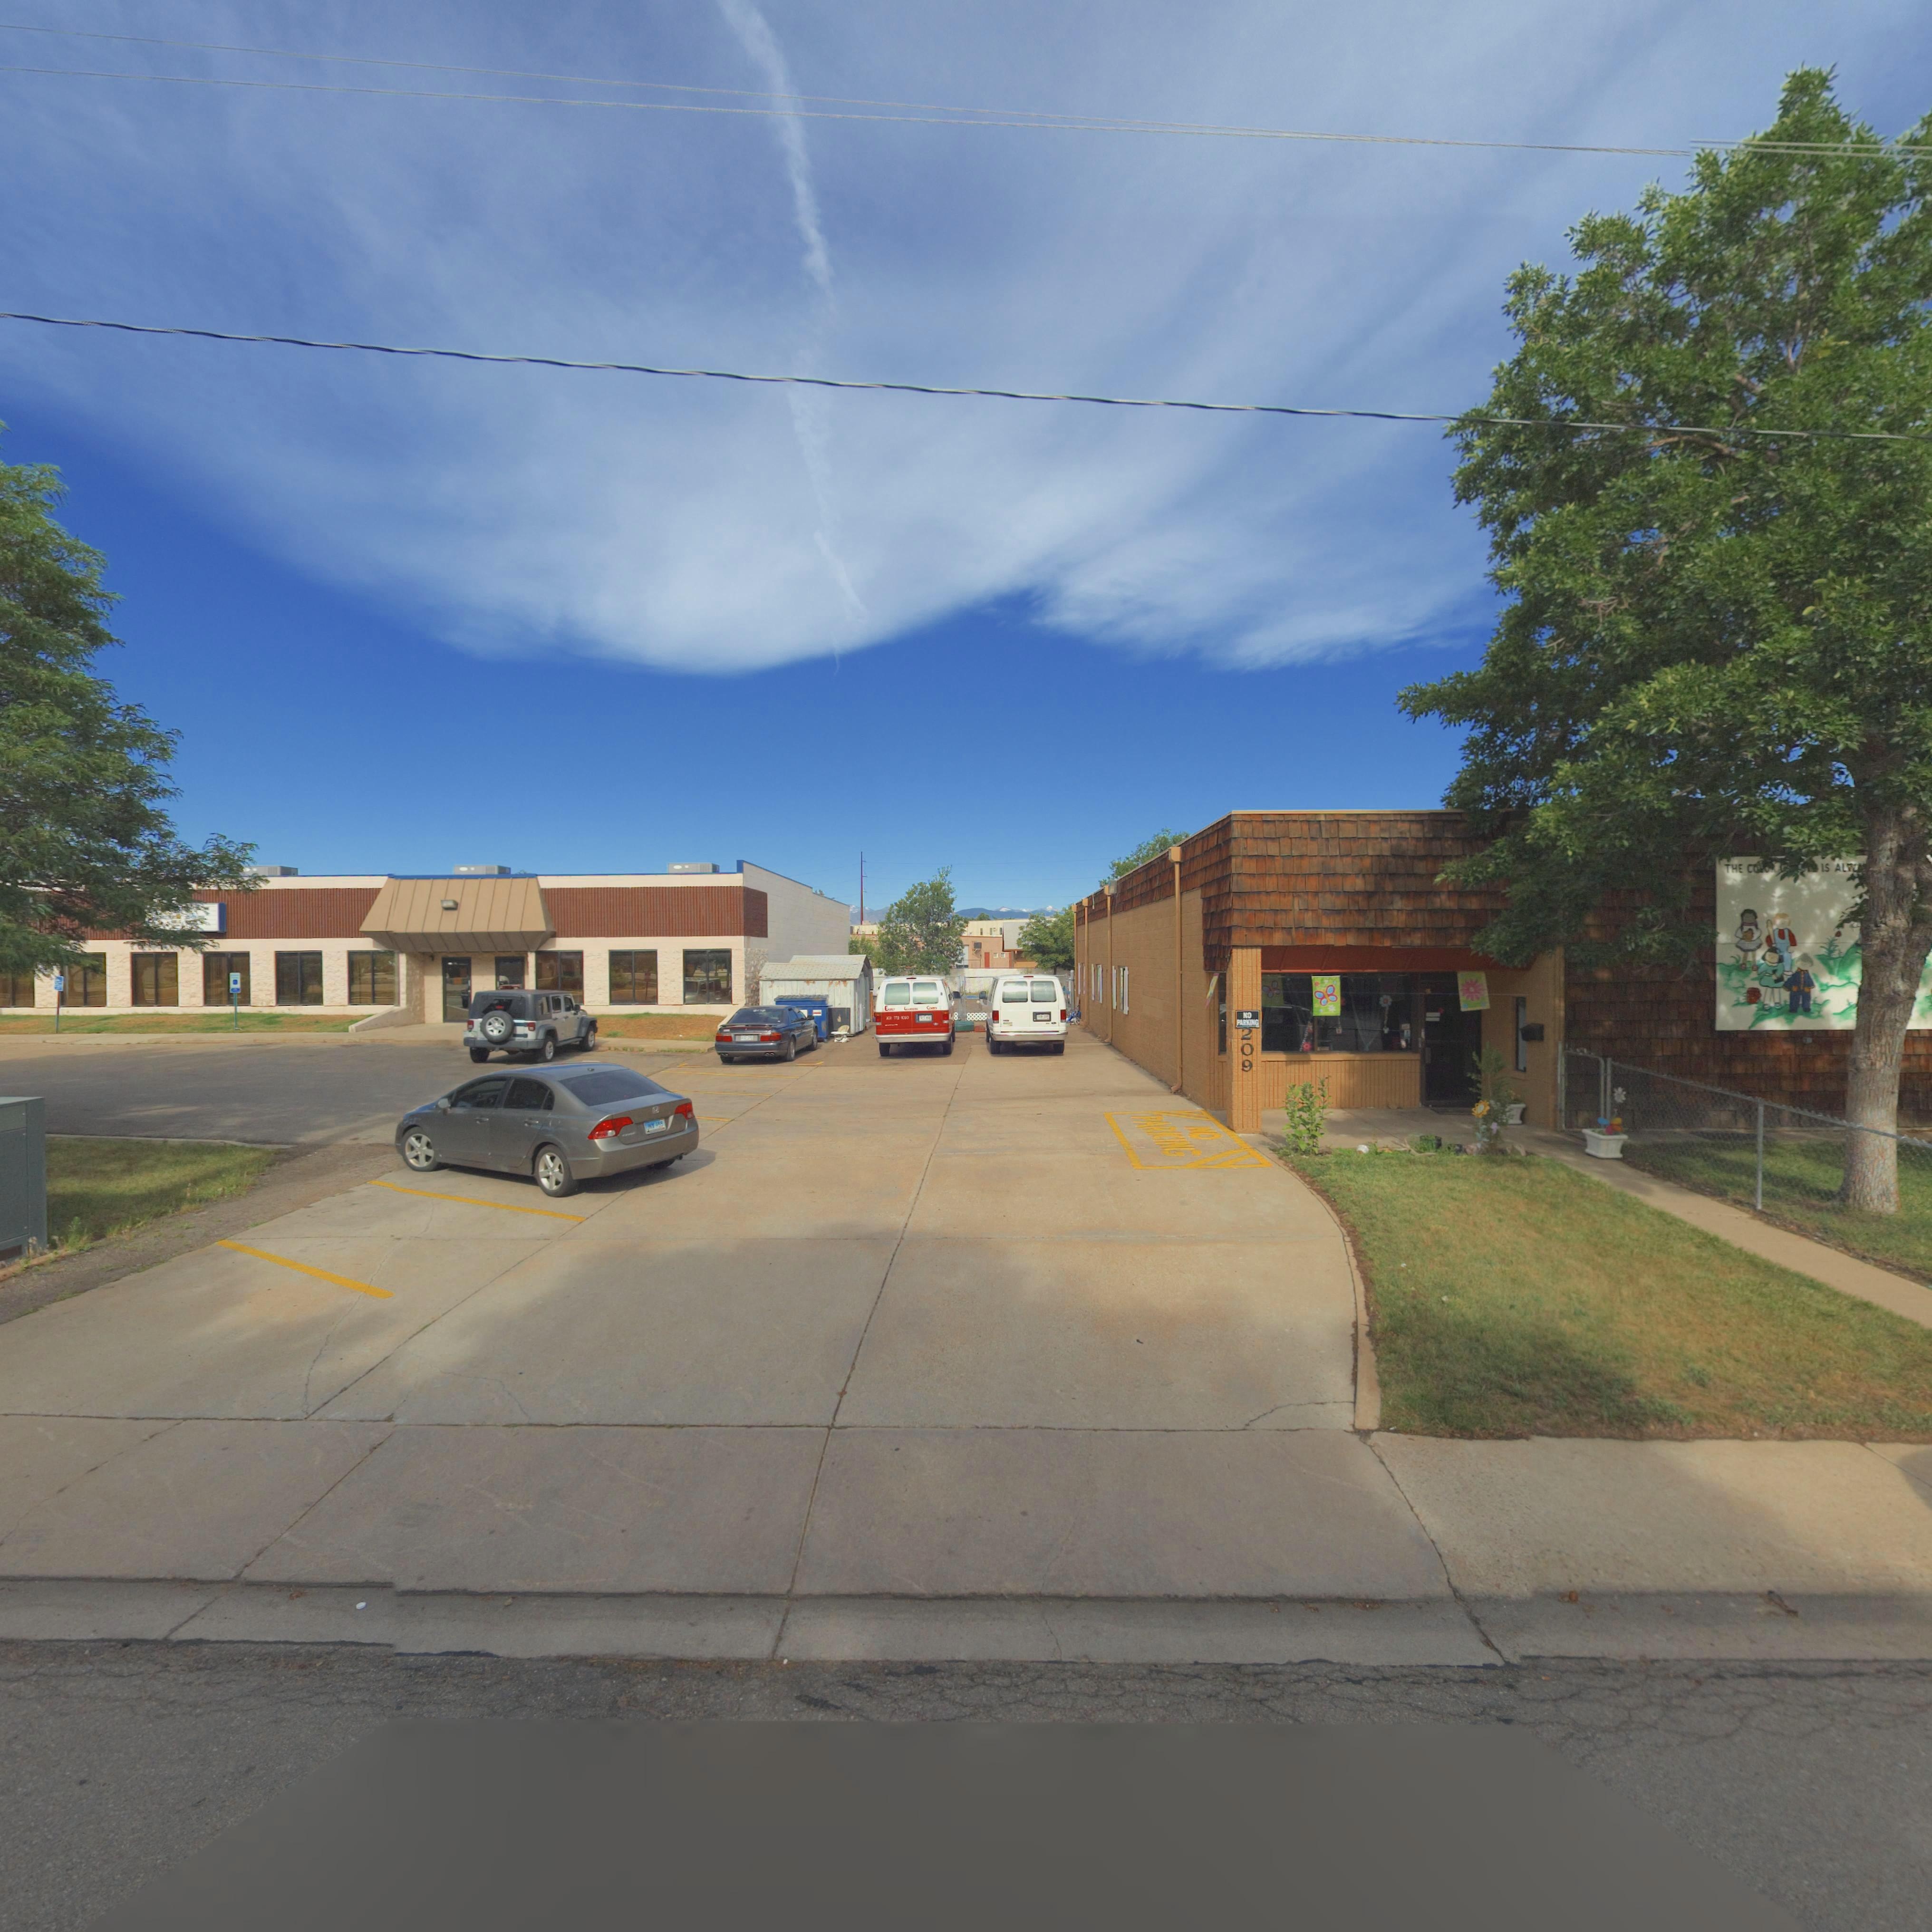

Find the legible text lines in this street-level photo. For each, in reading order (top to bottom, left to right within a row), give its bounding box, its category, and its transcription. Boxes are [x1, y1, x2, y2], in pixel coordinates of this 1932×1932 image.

[1241, 1026, 1254, 1073] StreetNumber: 209